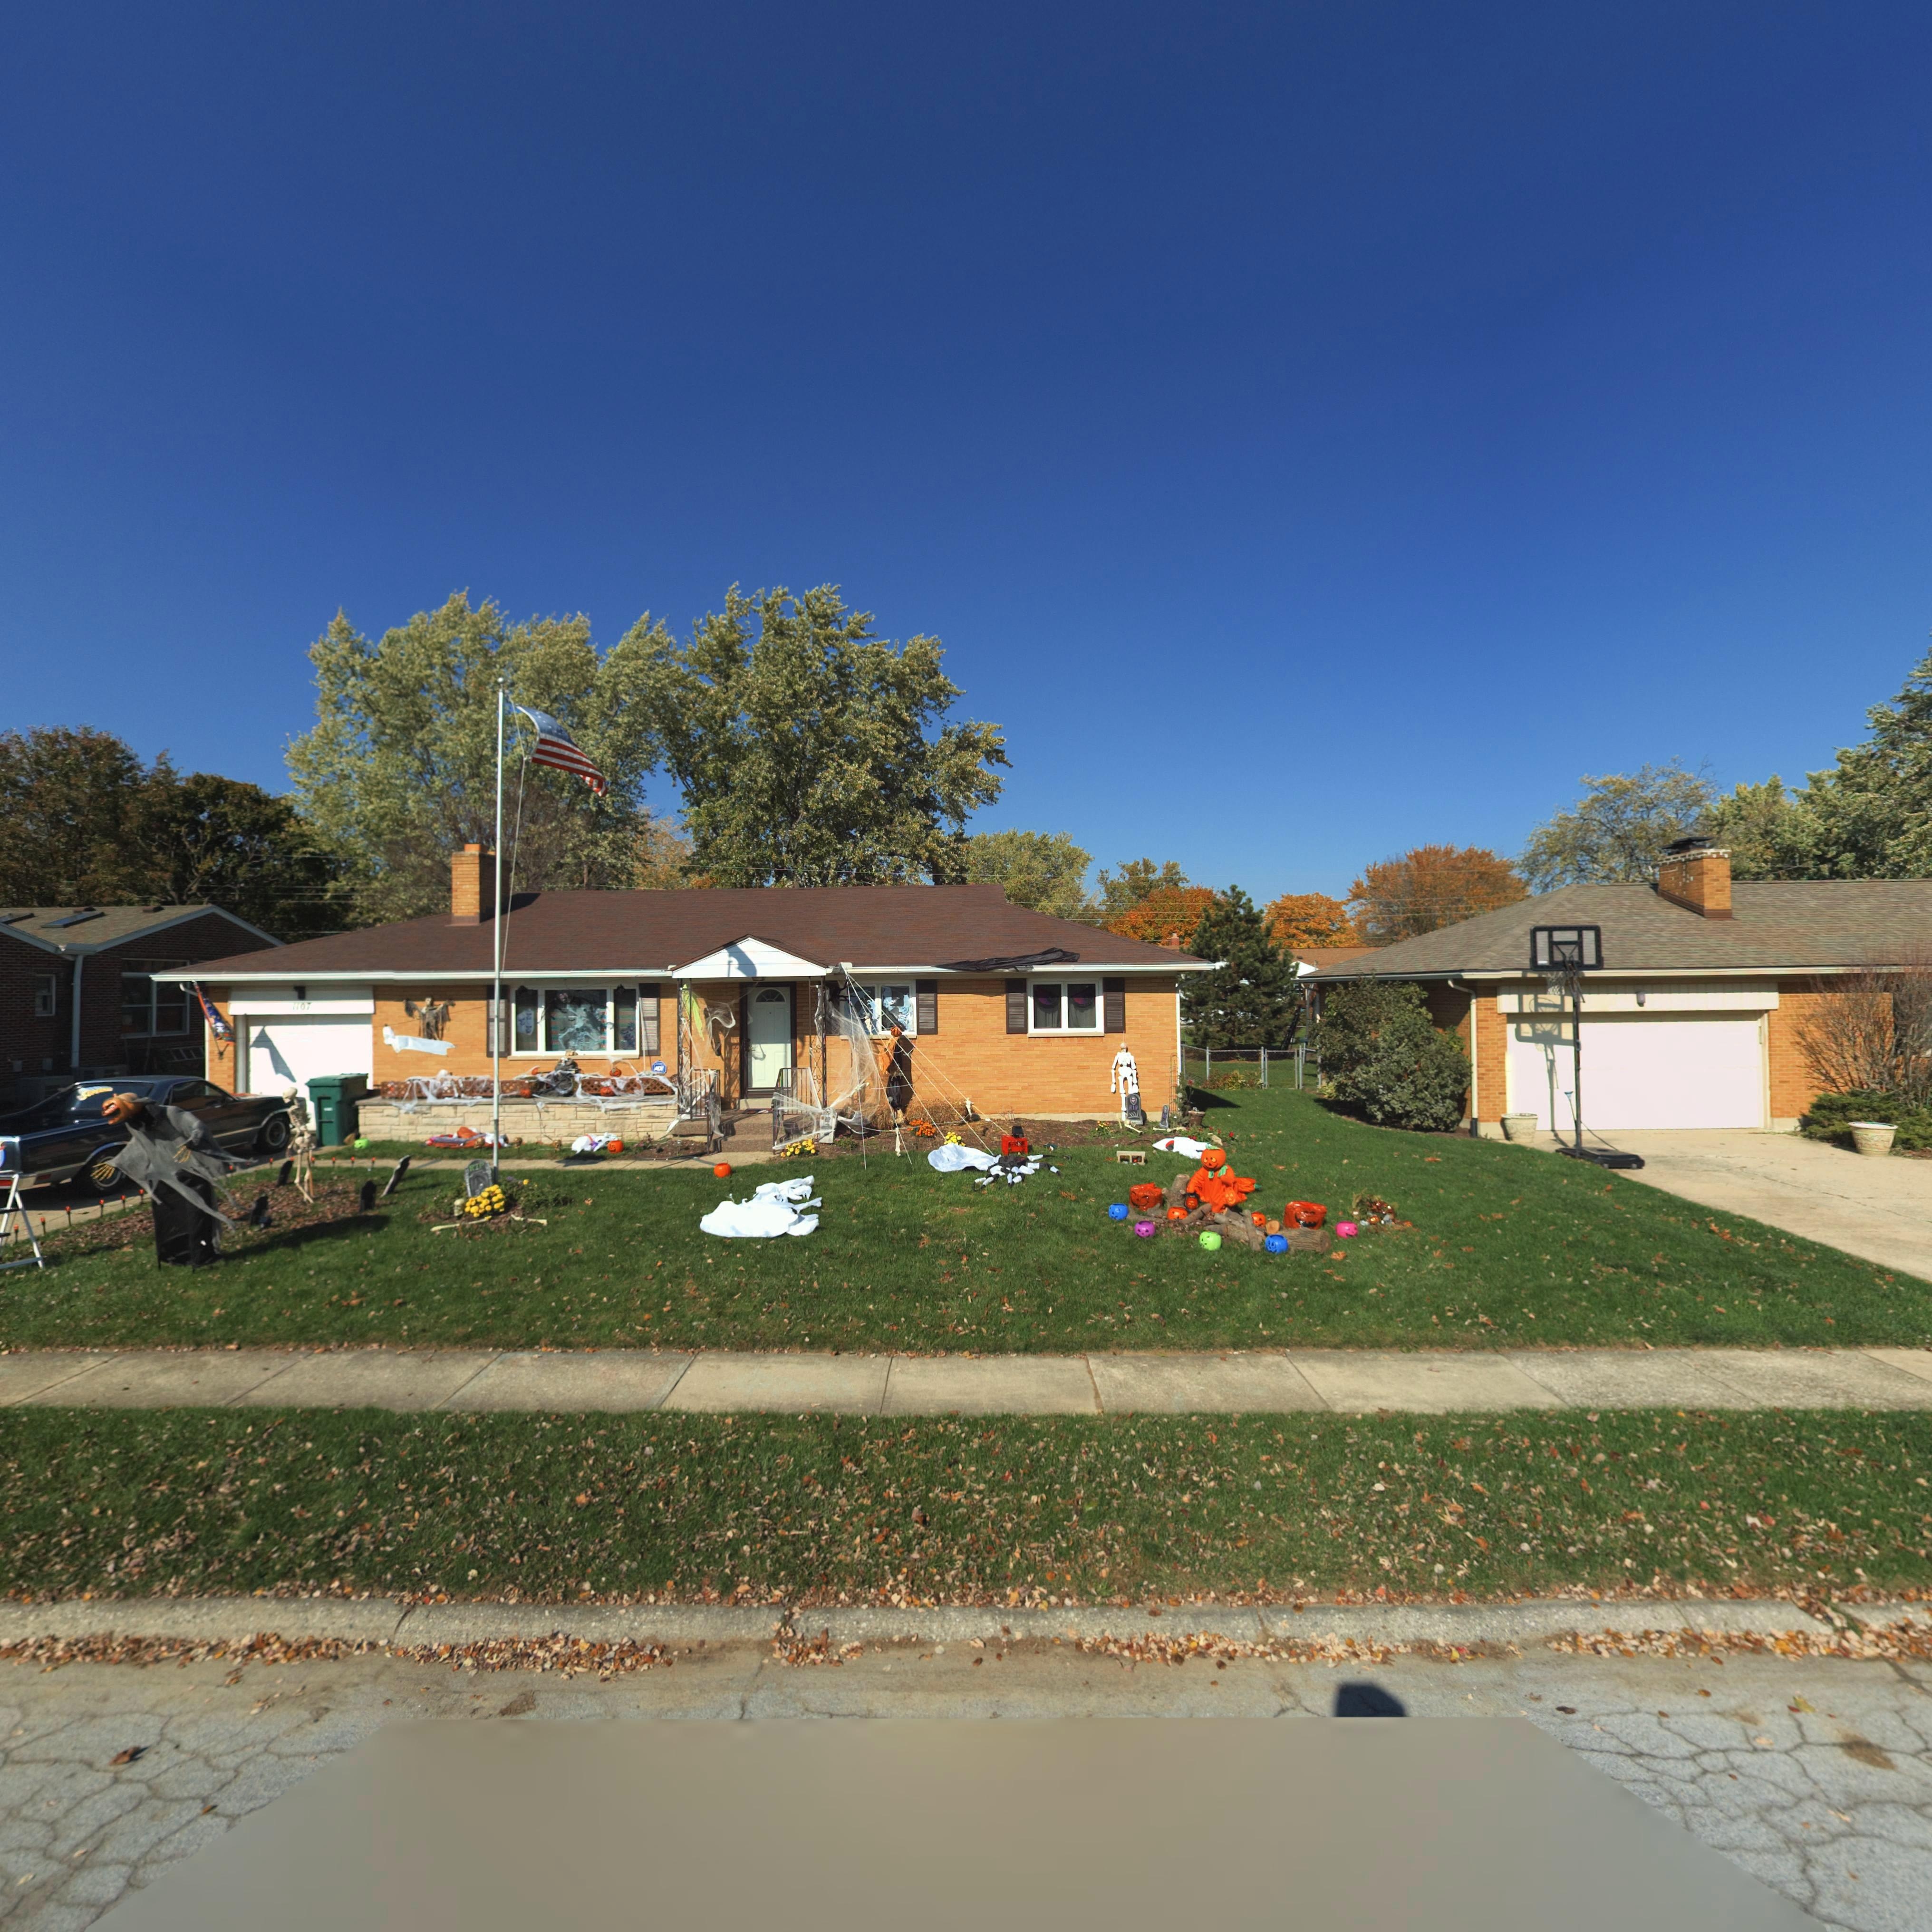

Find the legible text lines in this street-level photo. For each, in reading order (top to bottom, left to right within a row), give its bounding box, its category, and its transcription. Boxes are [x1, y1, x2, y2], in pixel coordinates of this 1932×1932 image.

[291, 1001, 312, 1010] StreetNumber: 1107
[652, 1065, 664, 1071] None: ADT
[469, 1161, 485, 1173] None: RIP